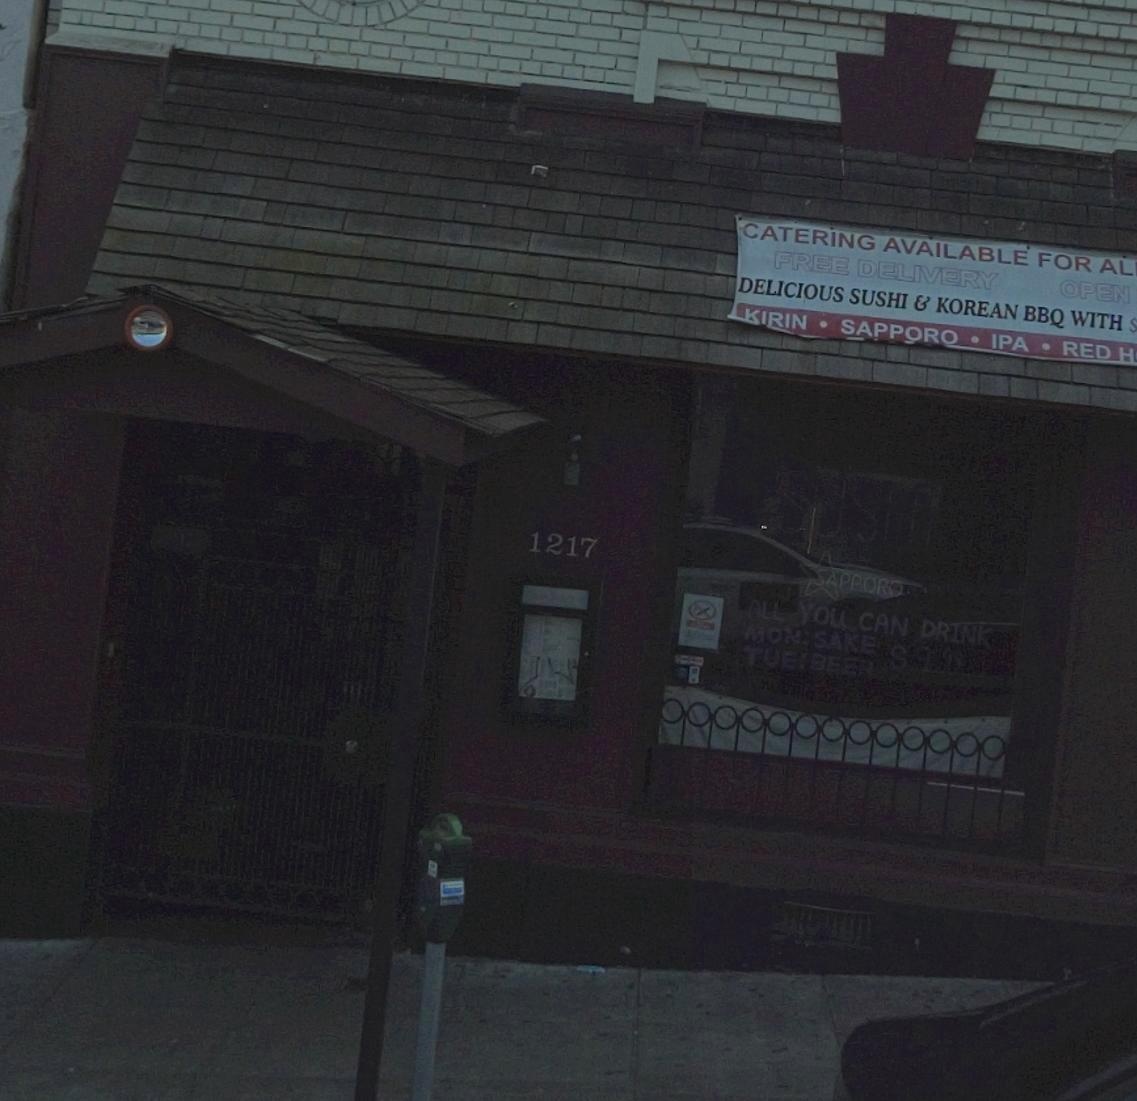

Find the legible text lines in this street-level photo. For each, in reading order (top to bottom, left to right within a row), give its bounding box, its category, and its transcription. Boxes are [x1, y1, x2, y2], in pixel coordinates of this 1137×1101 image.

[739, 217, 1136, 279] None: CATERING AVAILABLE FOR AL
[770, 246, 1004, 294] None: FREE DELIVERY
[732, 271, 1126, 335] None: DELICIOUS SUSHI & KOREAN BBQ WITH
[1057, 275, 1133, 307] None: OPEN
[743, 304, 1136, 368] None: KIRIN * SAPPORO * IPA * RED H
[524, 527, 604, 562] StreetNumber: 1217
[810, 565, 906, 601] None: SAPPORO
[738, 643, 878, 682] None: TUE:BEER
[739, 619, 880, 660] None: MON:SAKE
[741, 594, 996, 652] None: ALL YOU CAN DRINK
[884, 640, 911, 675] None: S